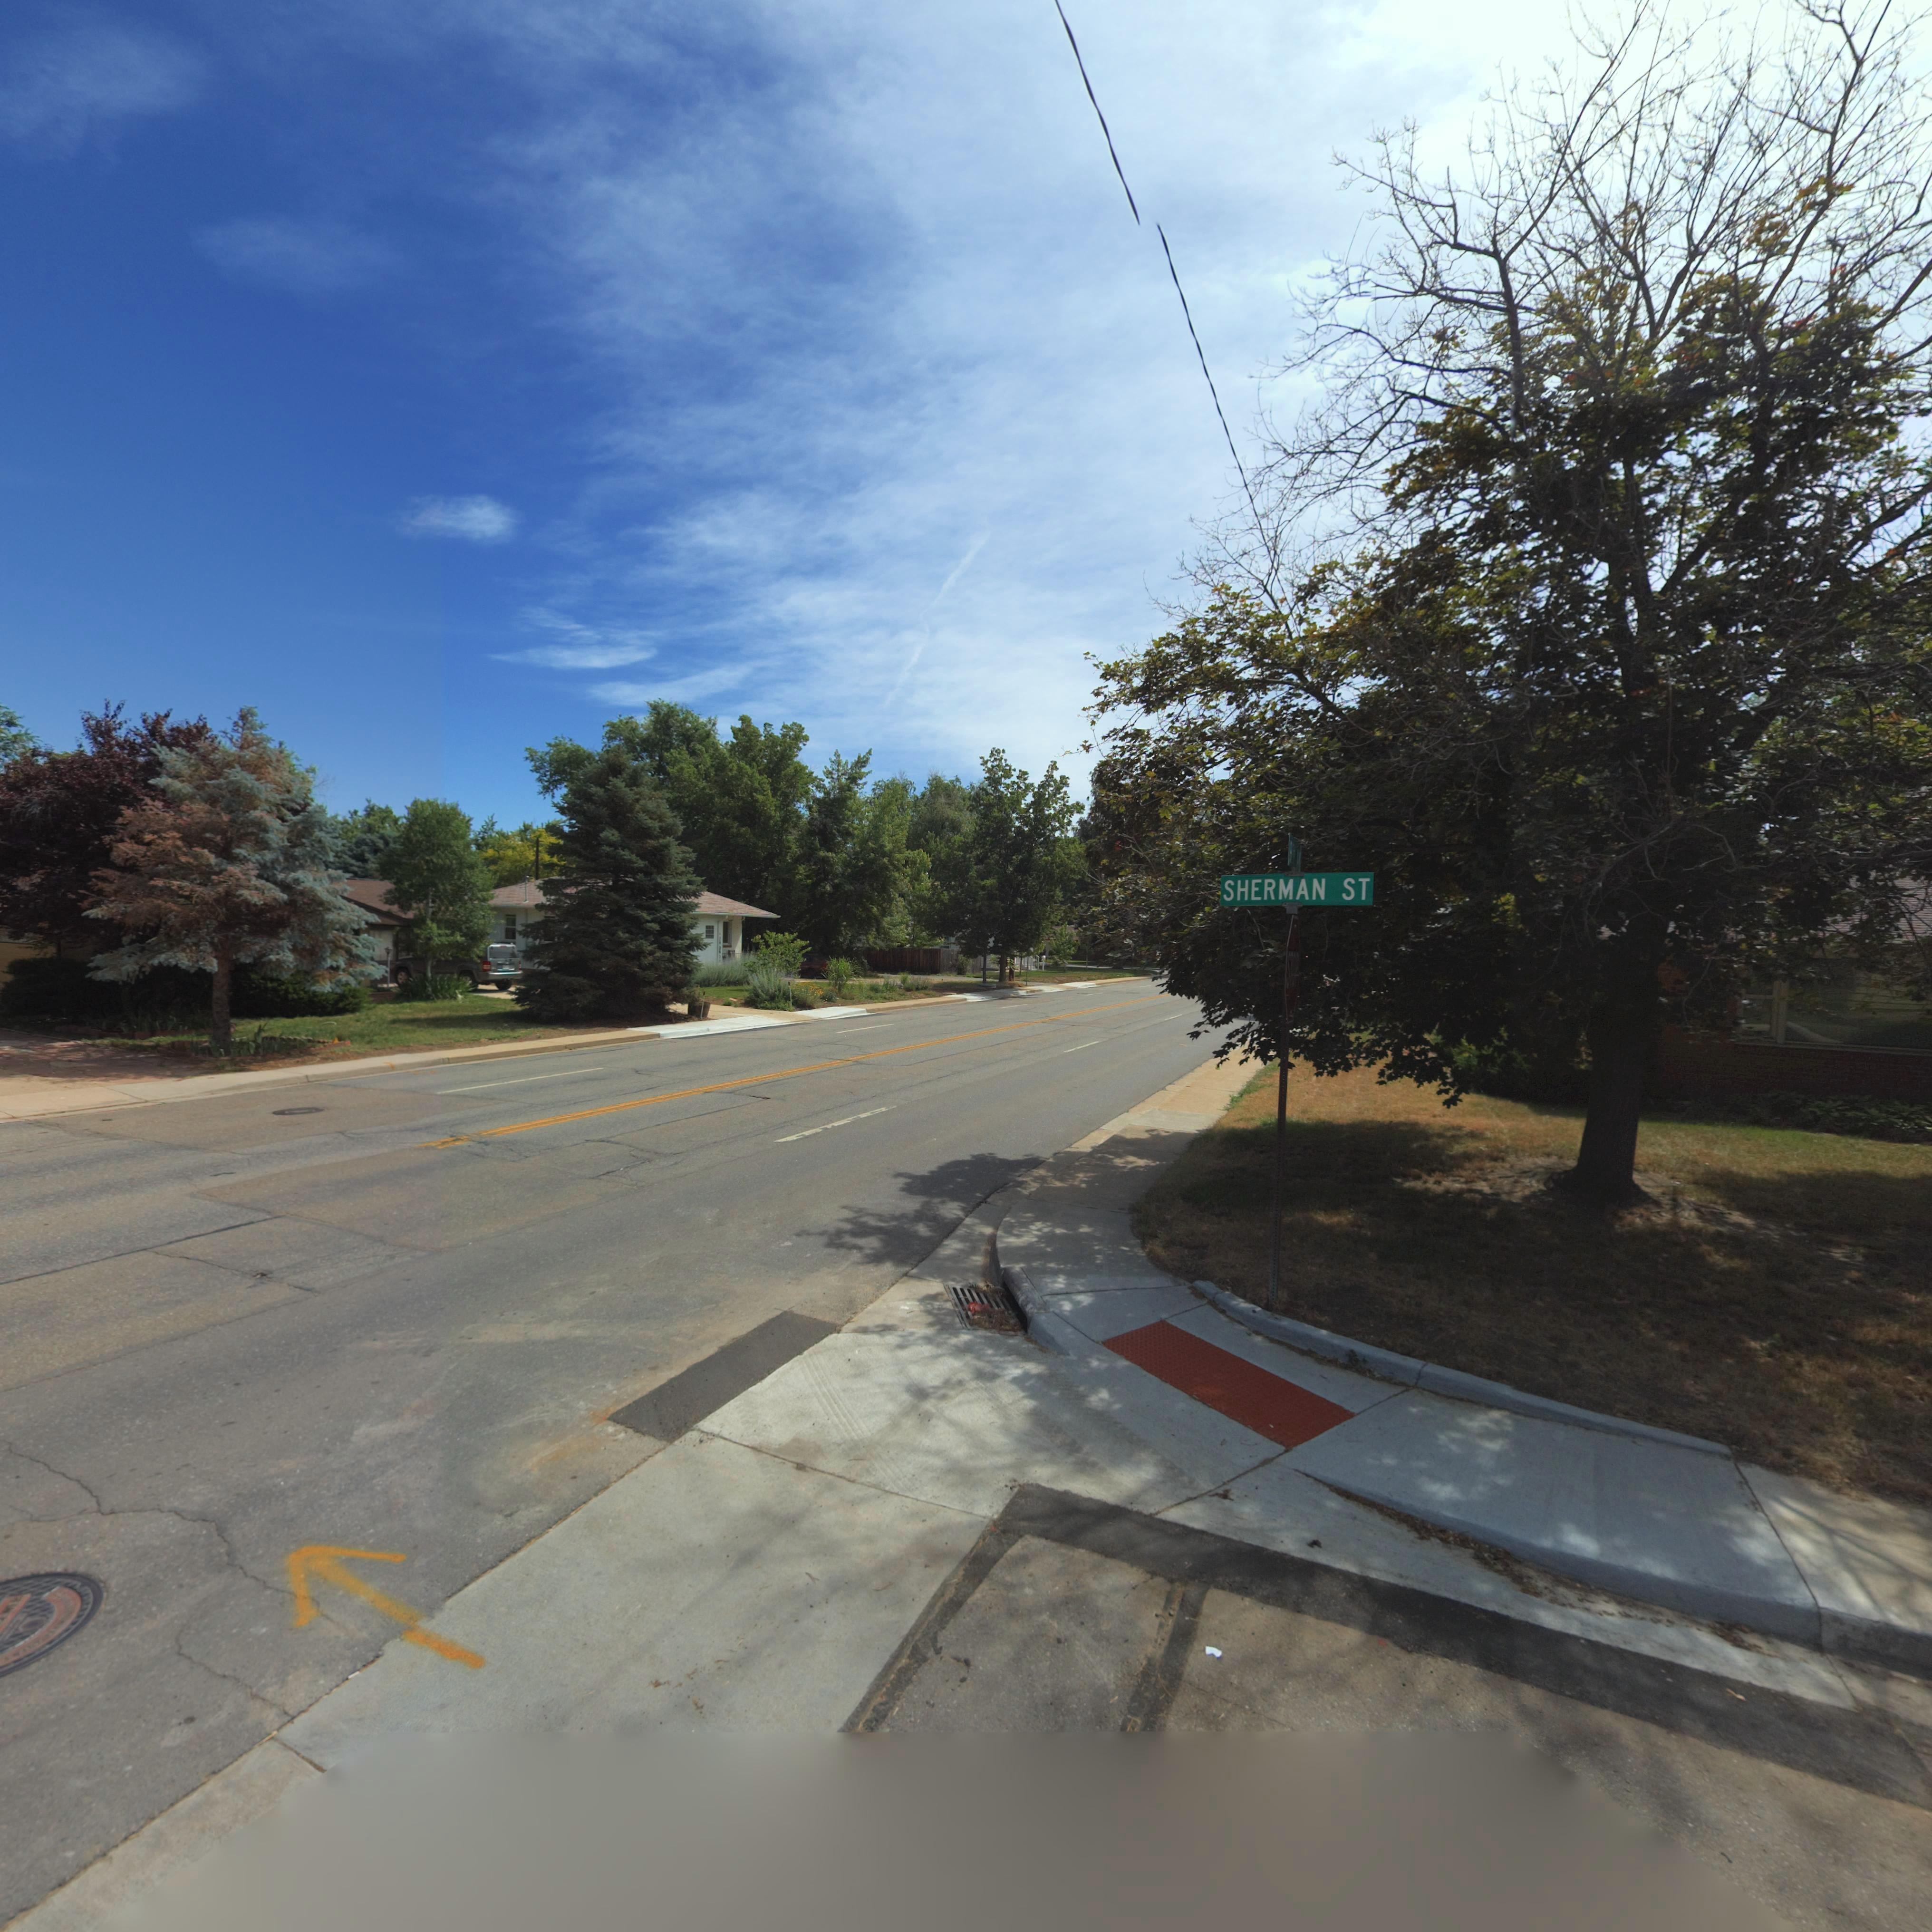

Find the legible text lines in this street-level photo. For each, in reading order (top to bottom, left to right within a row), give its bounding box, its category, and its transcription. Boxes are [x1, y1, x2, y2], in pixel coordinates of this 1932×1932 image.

[1223, 877, 1371, 902] StreetName: SHERMAN ST